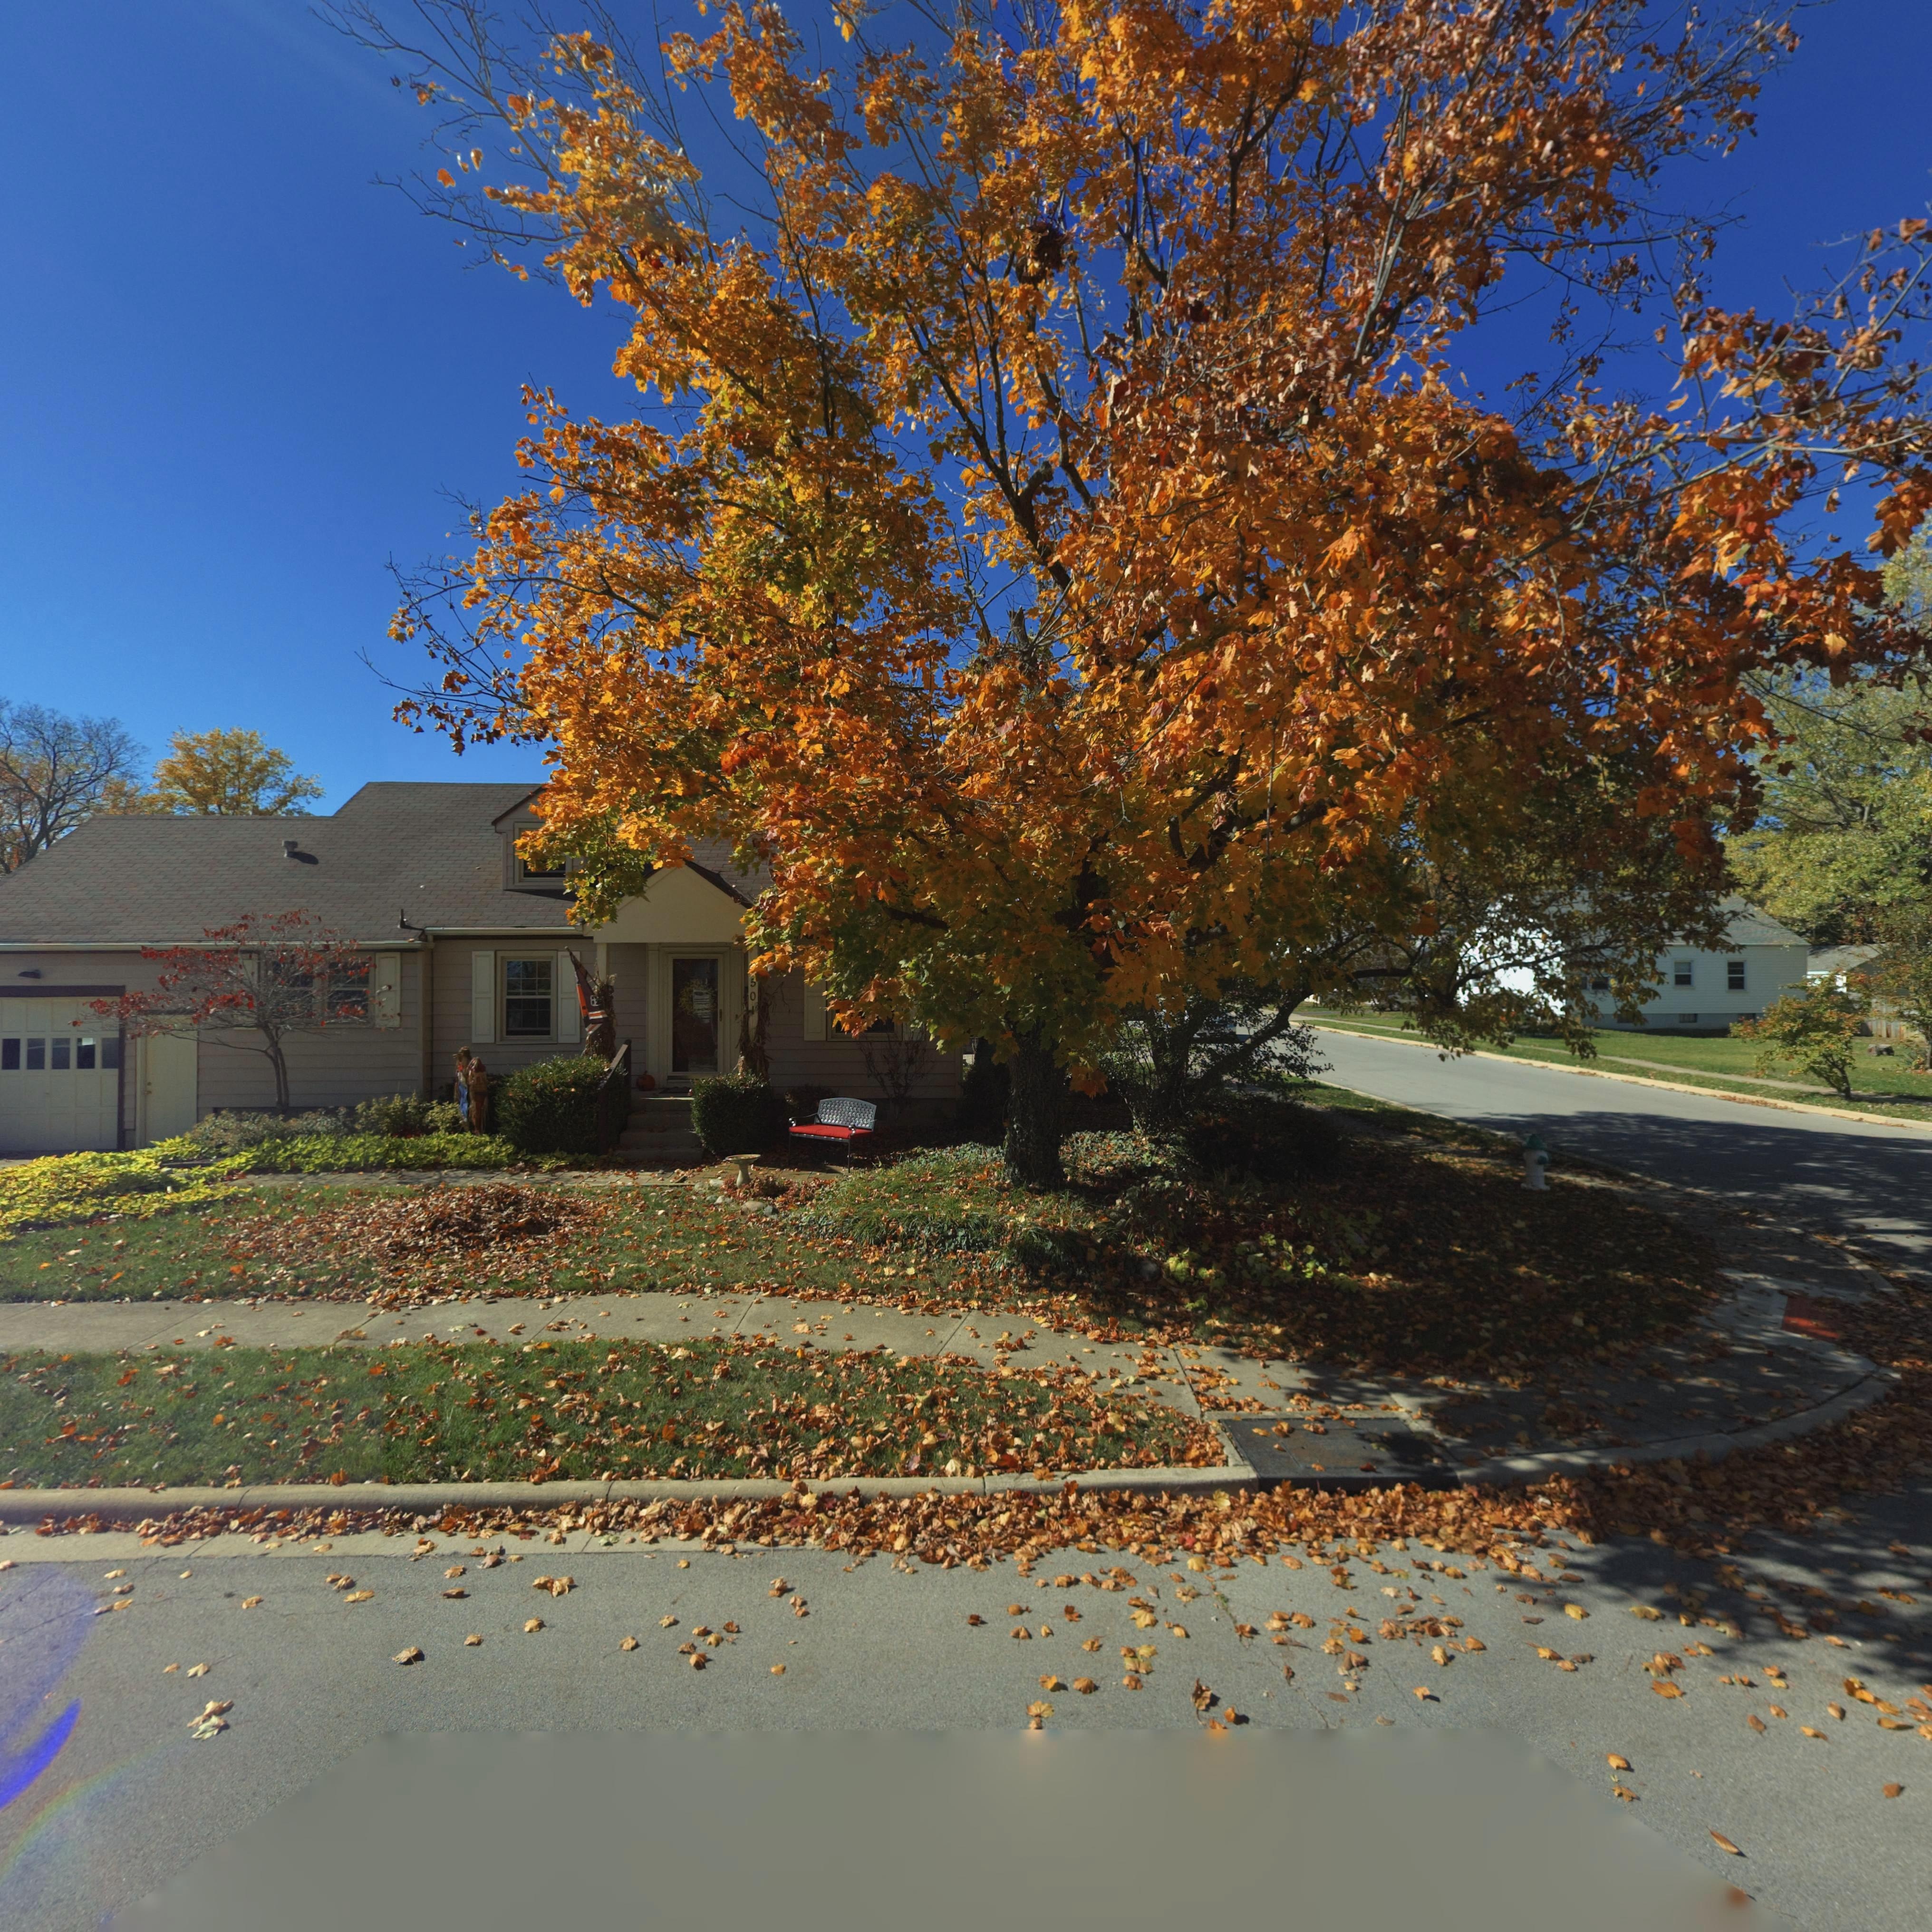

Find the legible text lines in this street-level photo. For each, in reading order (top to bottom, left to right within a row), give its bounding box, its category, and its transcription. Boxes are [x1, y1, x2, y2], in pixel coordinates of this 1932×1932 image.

[748, 976, 758, 1017] StreetNumber: *0*